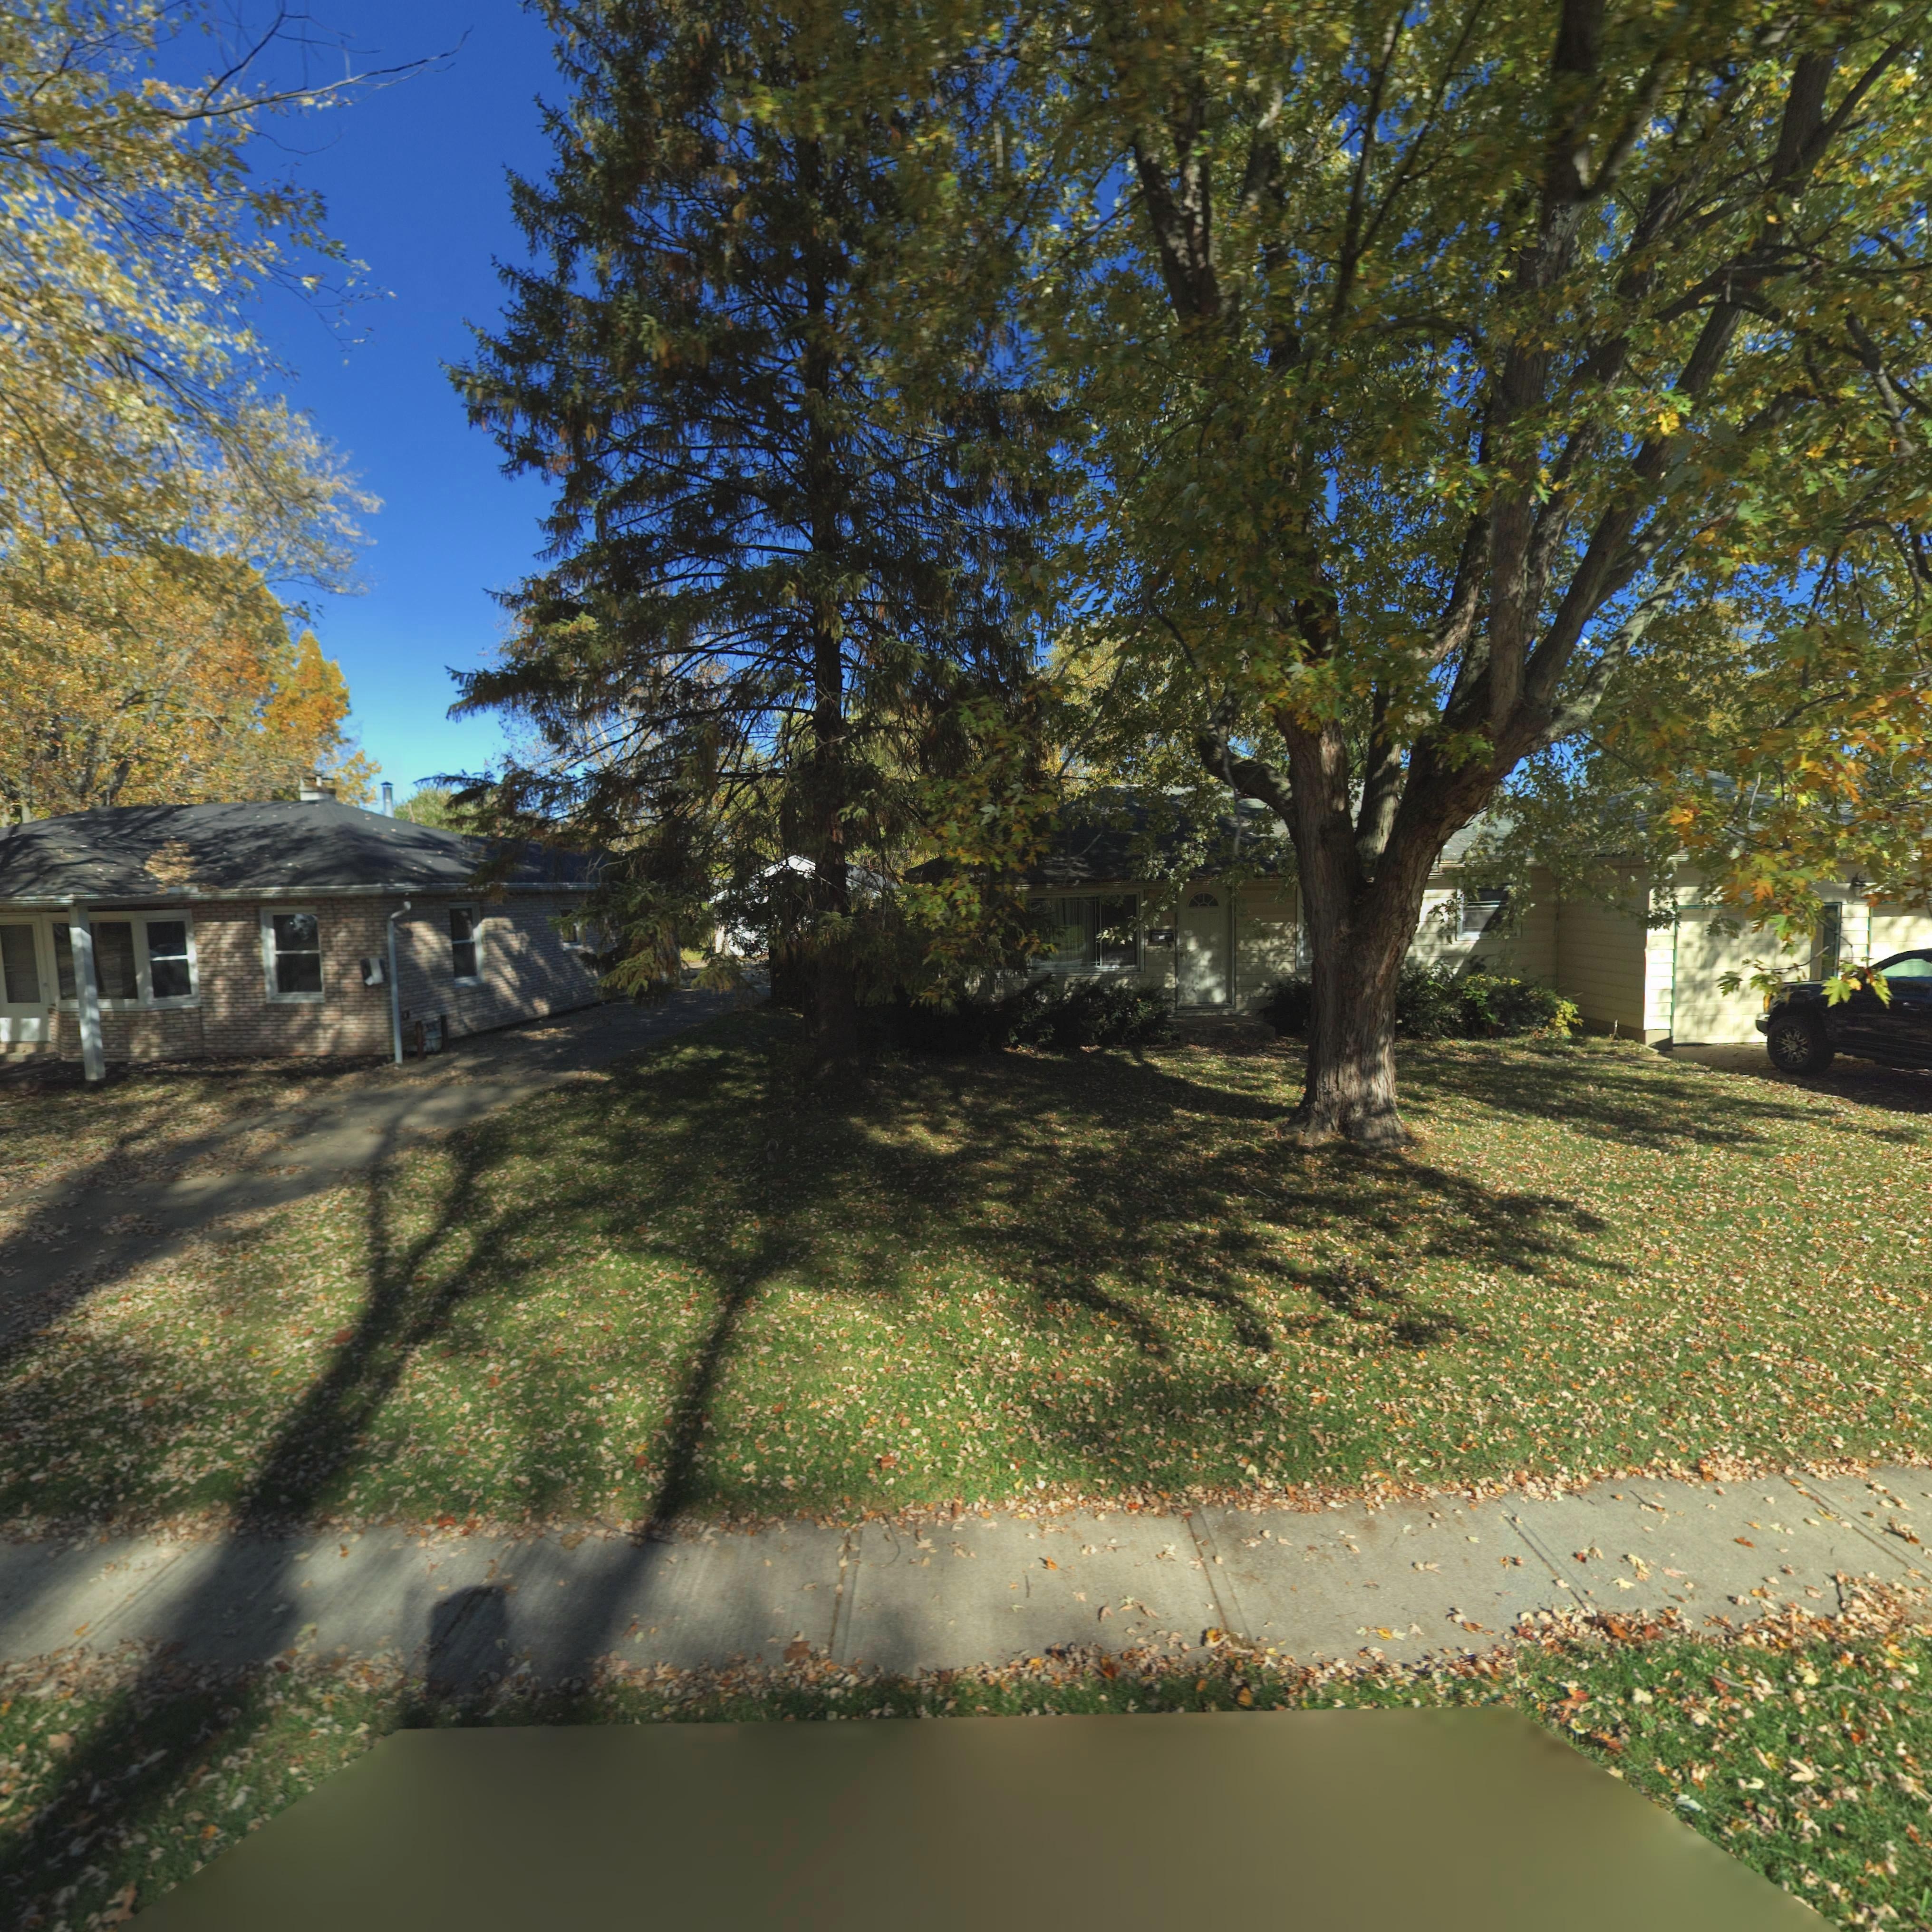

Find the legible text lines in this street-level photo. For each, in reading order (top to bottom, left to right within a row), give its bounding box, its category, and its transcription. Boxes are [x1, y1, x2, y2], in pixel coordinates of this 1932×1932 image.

[1159, 918, 1171, 927] StreetNumber: 19